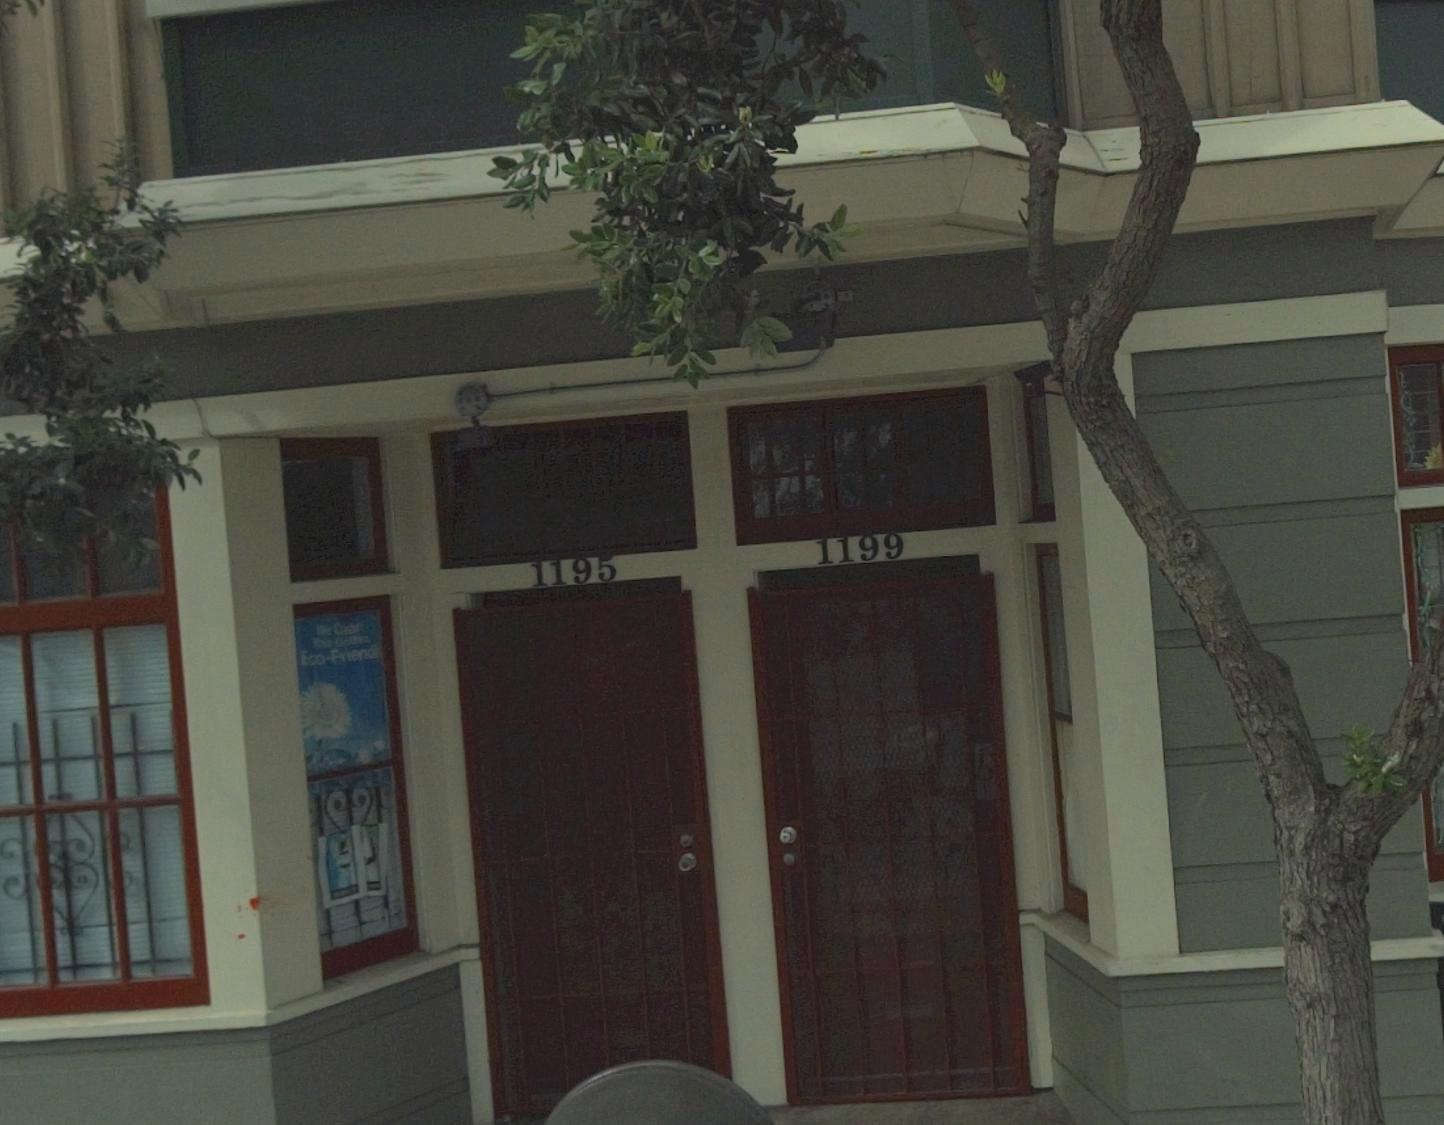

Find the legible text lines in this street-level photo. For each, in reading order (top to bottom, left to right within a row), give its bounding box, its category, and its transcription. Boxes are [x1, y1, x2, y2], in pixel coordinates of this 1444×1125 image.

[814, 533, 905, 567] StreetNumber: 1199
[528, 554, 619, 589] StreetNumber: 1195
[314, 622, 334, 638] None: We
[298, 644, 381, 667] None: Eco-Friend